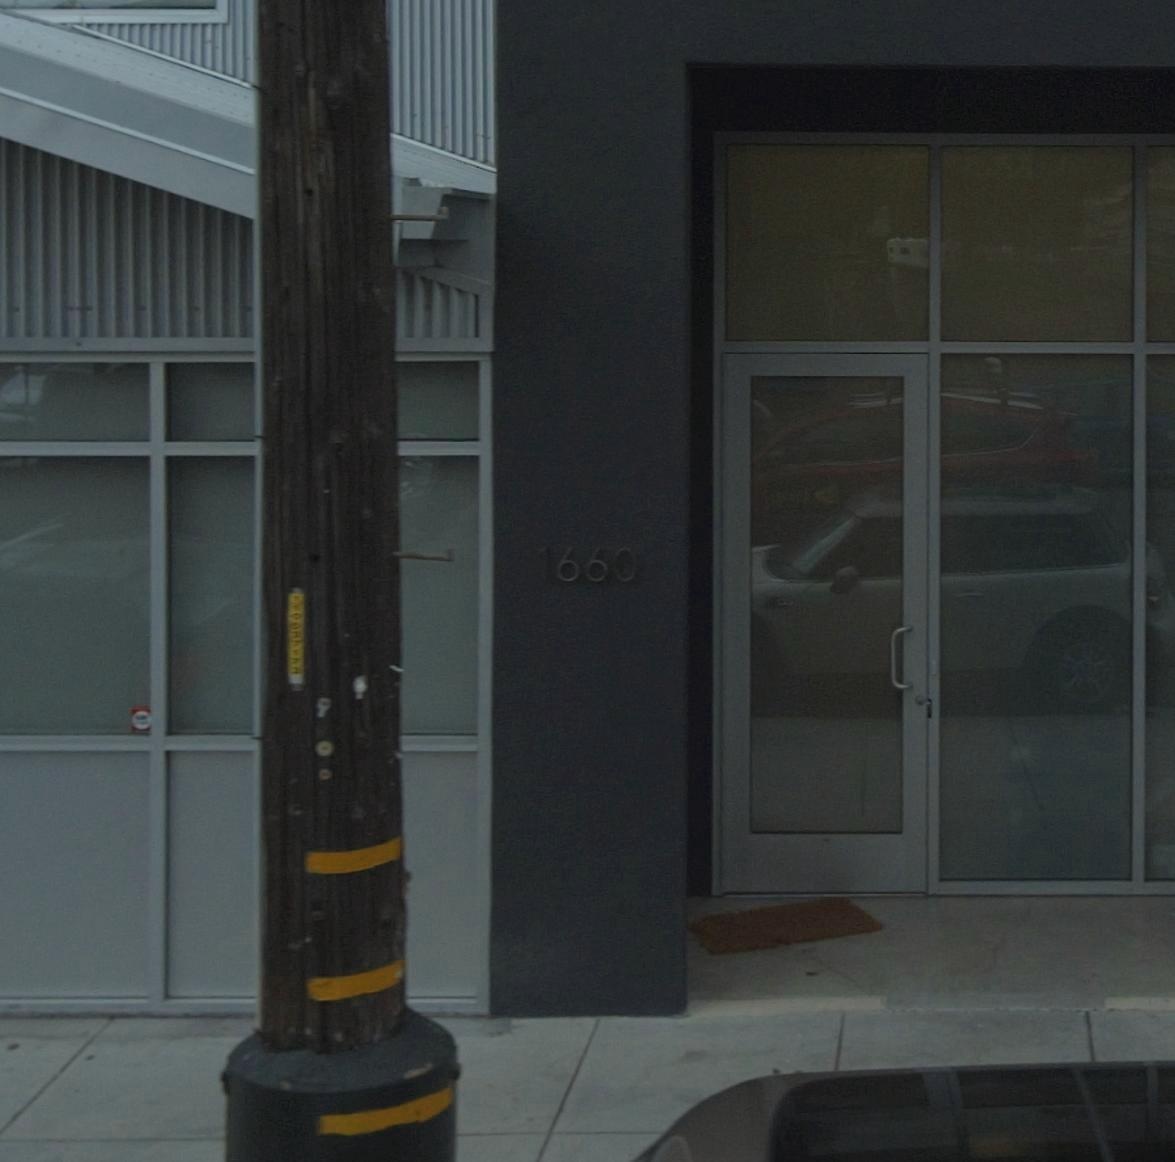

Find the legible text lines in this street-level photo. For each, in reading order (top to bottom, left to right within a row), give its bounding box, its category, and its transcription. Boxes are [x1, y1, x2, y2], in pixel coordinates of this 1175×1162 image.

[535, 540, 640, 585] StreetNumber: 1660
[291, 593, 302, 675] None: 110037173